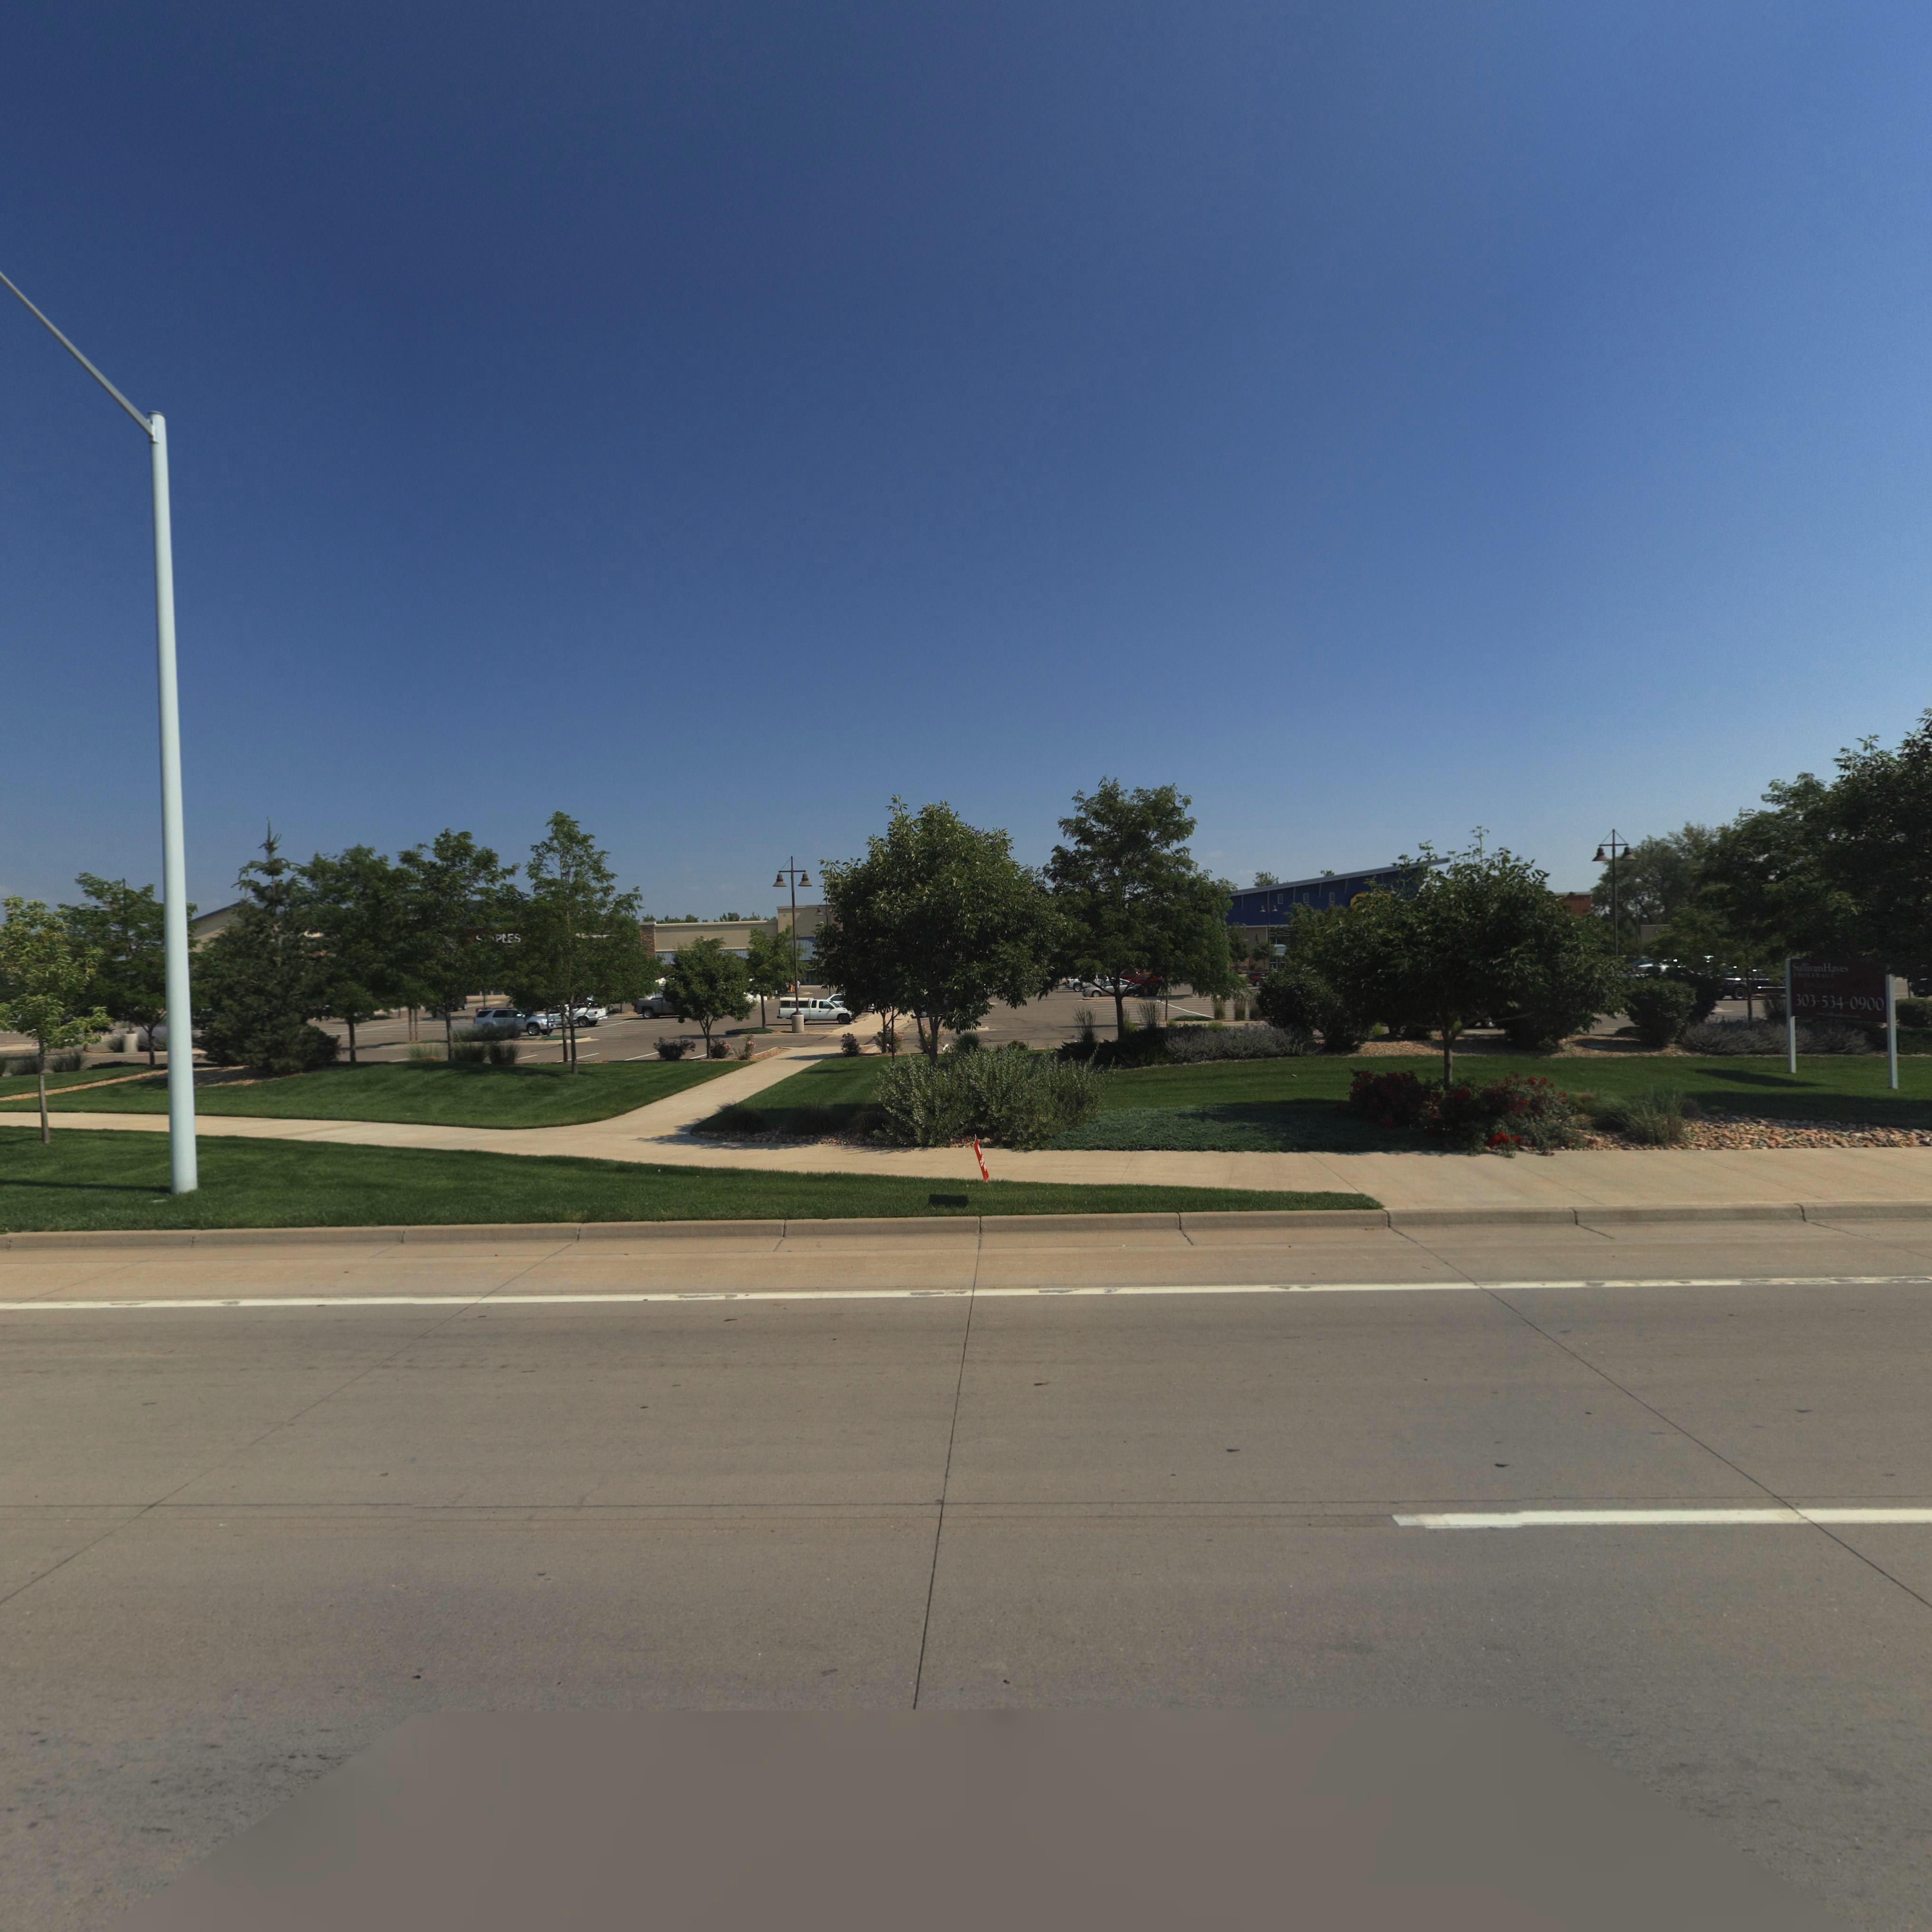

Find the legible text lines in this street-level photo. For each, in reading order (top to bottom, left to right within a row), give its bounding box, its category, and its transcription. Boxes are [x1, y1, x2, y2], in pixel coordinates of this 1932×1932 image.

[475, 933, 522, 944] BusinessName: ***PLES